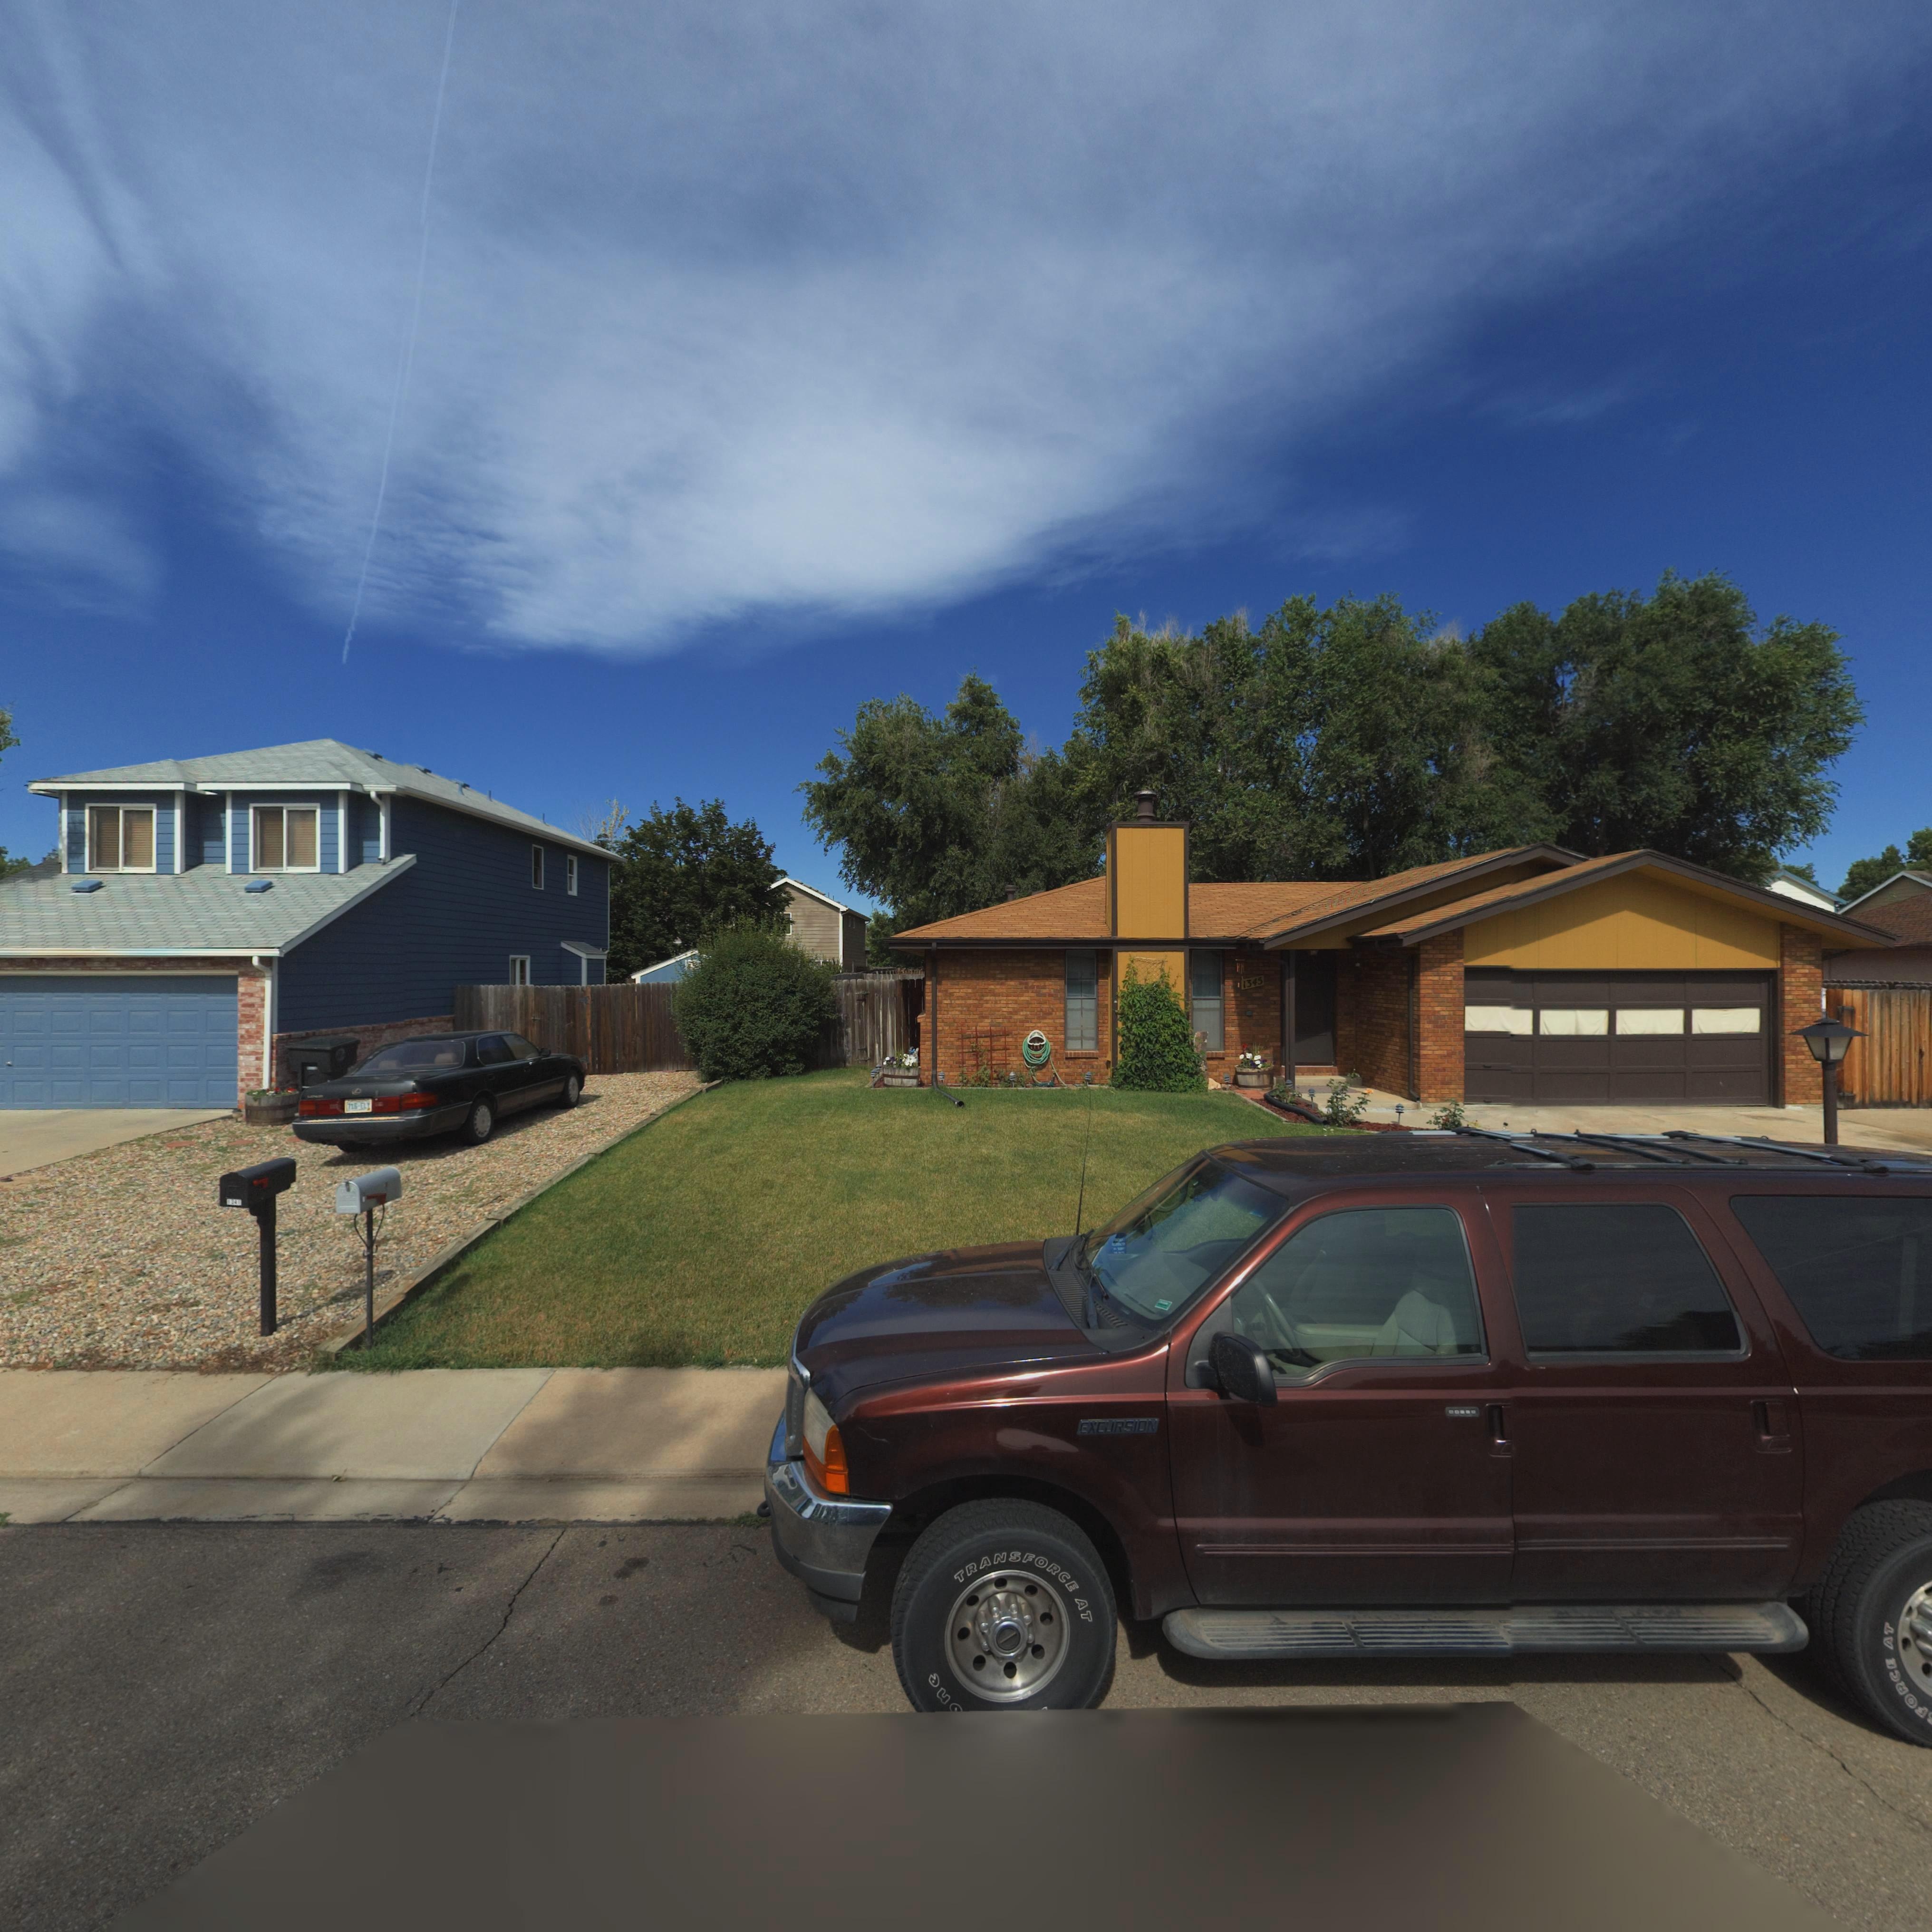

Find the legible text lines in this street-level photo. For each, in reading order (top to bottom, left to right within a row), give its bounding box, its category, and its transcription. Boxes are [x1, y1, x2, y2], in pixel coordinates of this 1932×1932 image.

[1243, 976, 1263, 989] StreetNumber: 1345
[227, 1198, 240, 1205] StreetNumber: 1341